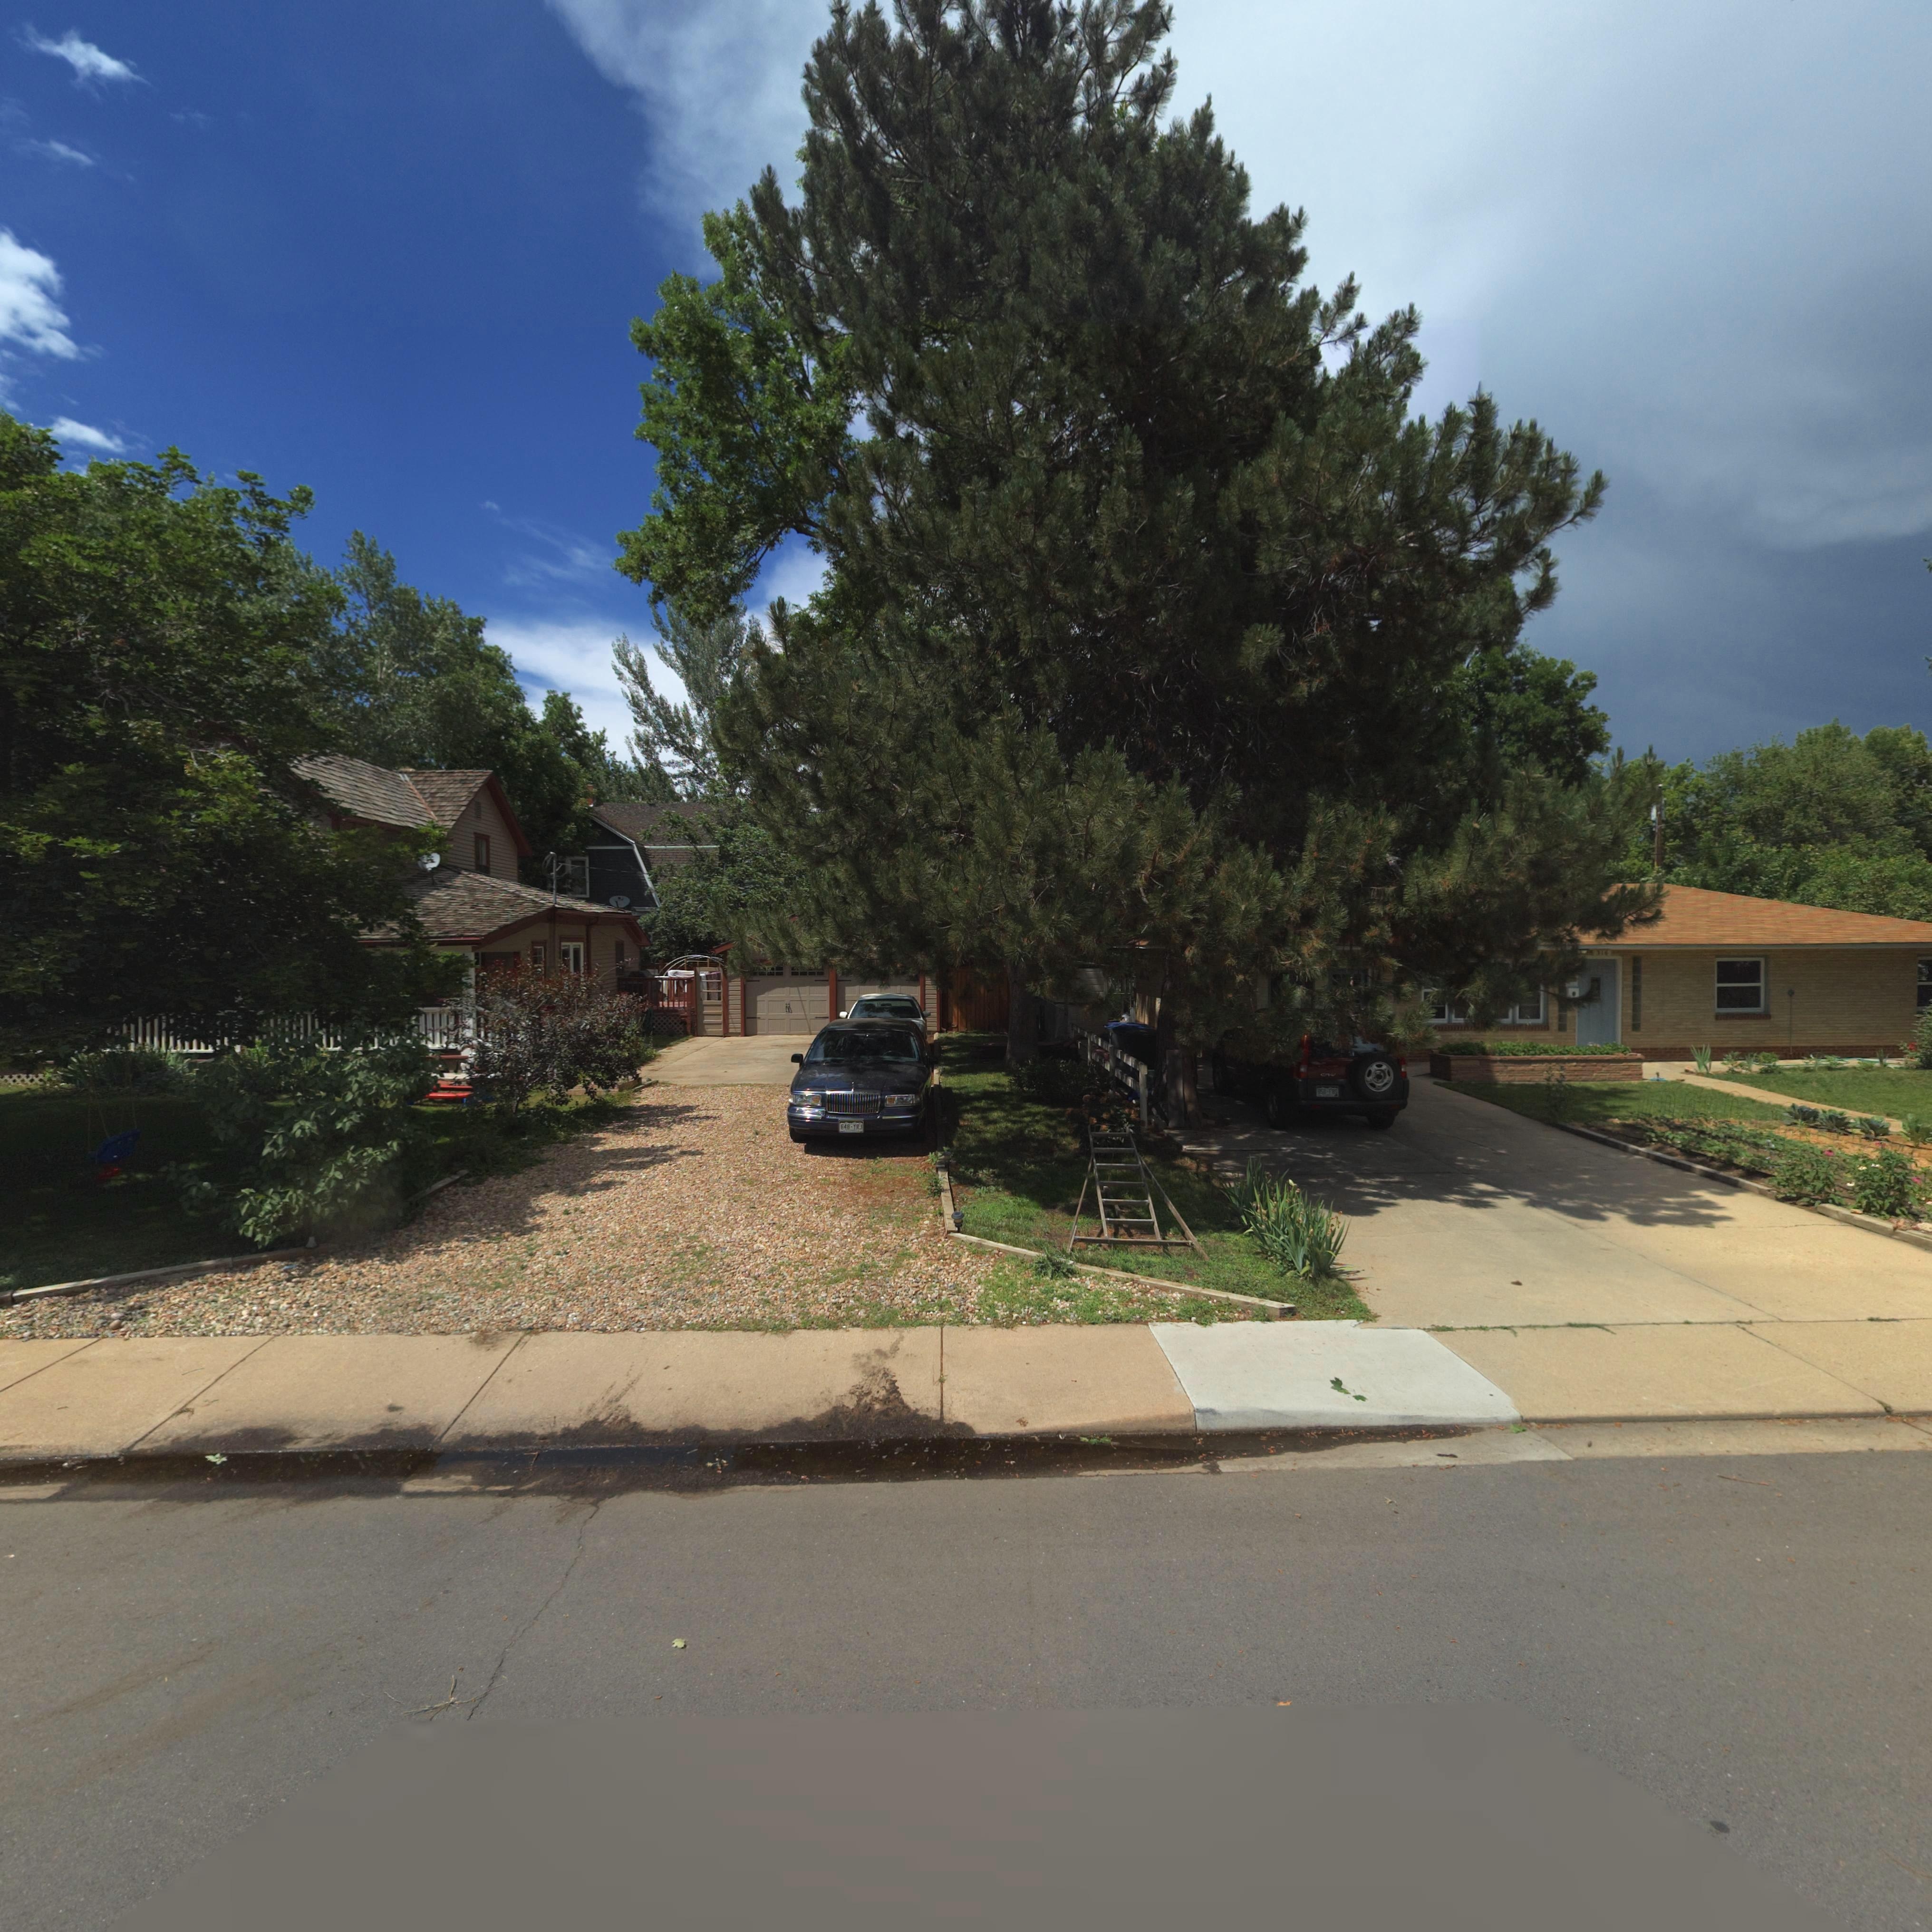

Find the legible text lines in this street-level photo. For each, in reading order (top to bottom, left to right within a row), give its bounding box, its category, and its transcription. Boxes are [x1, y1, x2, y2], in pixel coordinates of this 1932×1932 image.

[1599, 950, 1612, 956] StreetNumber: 312